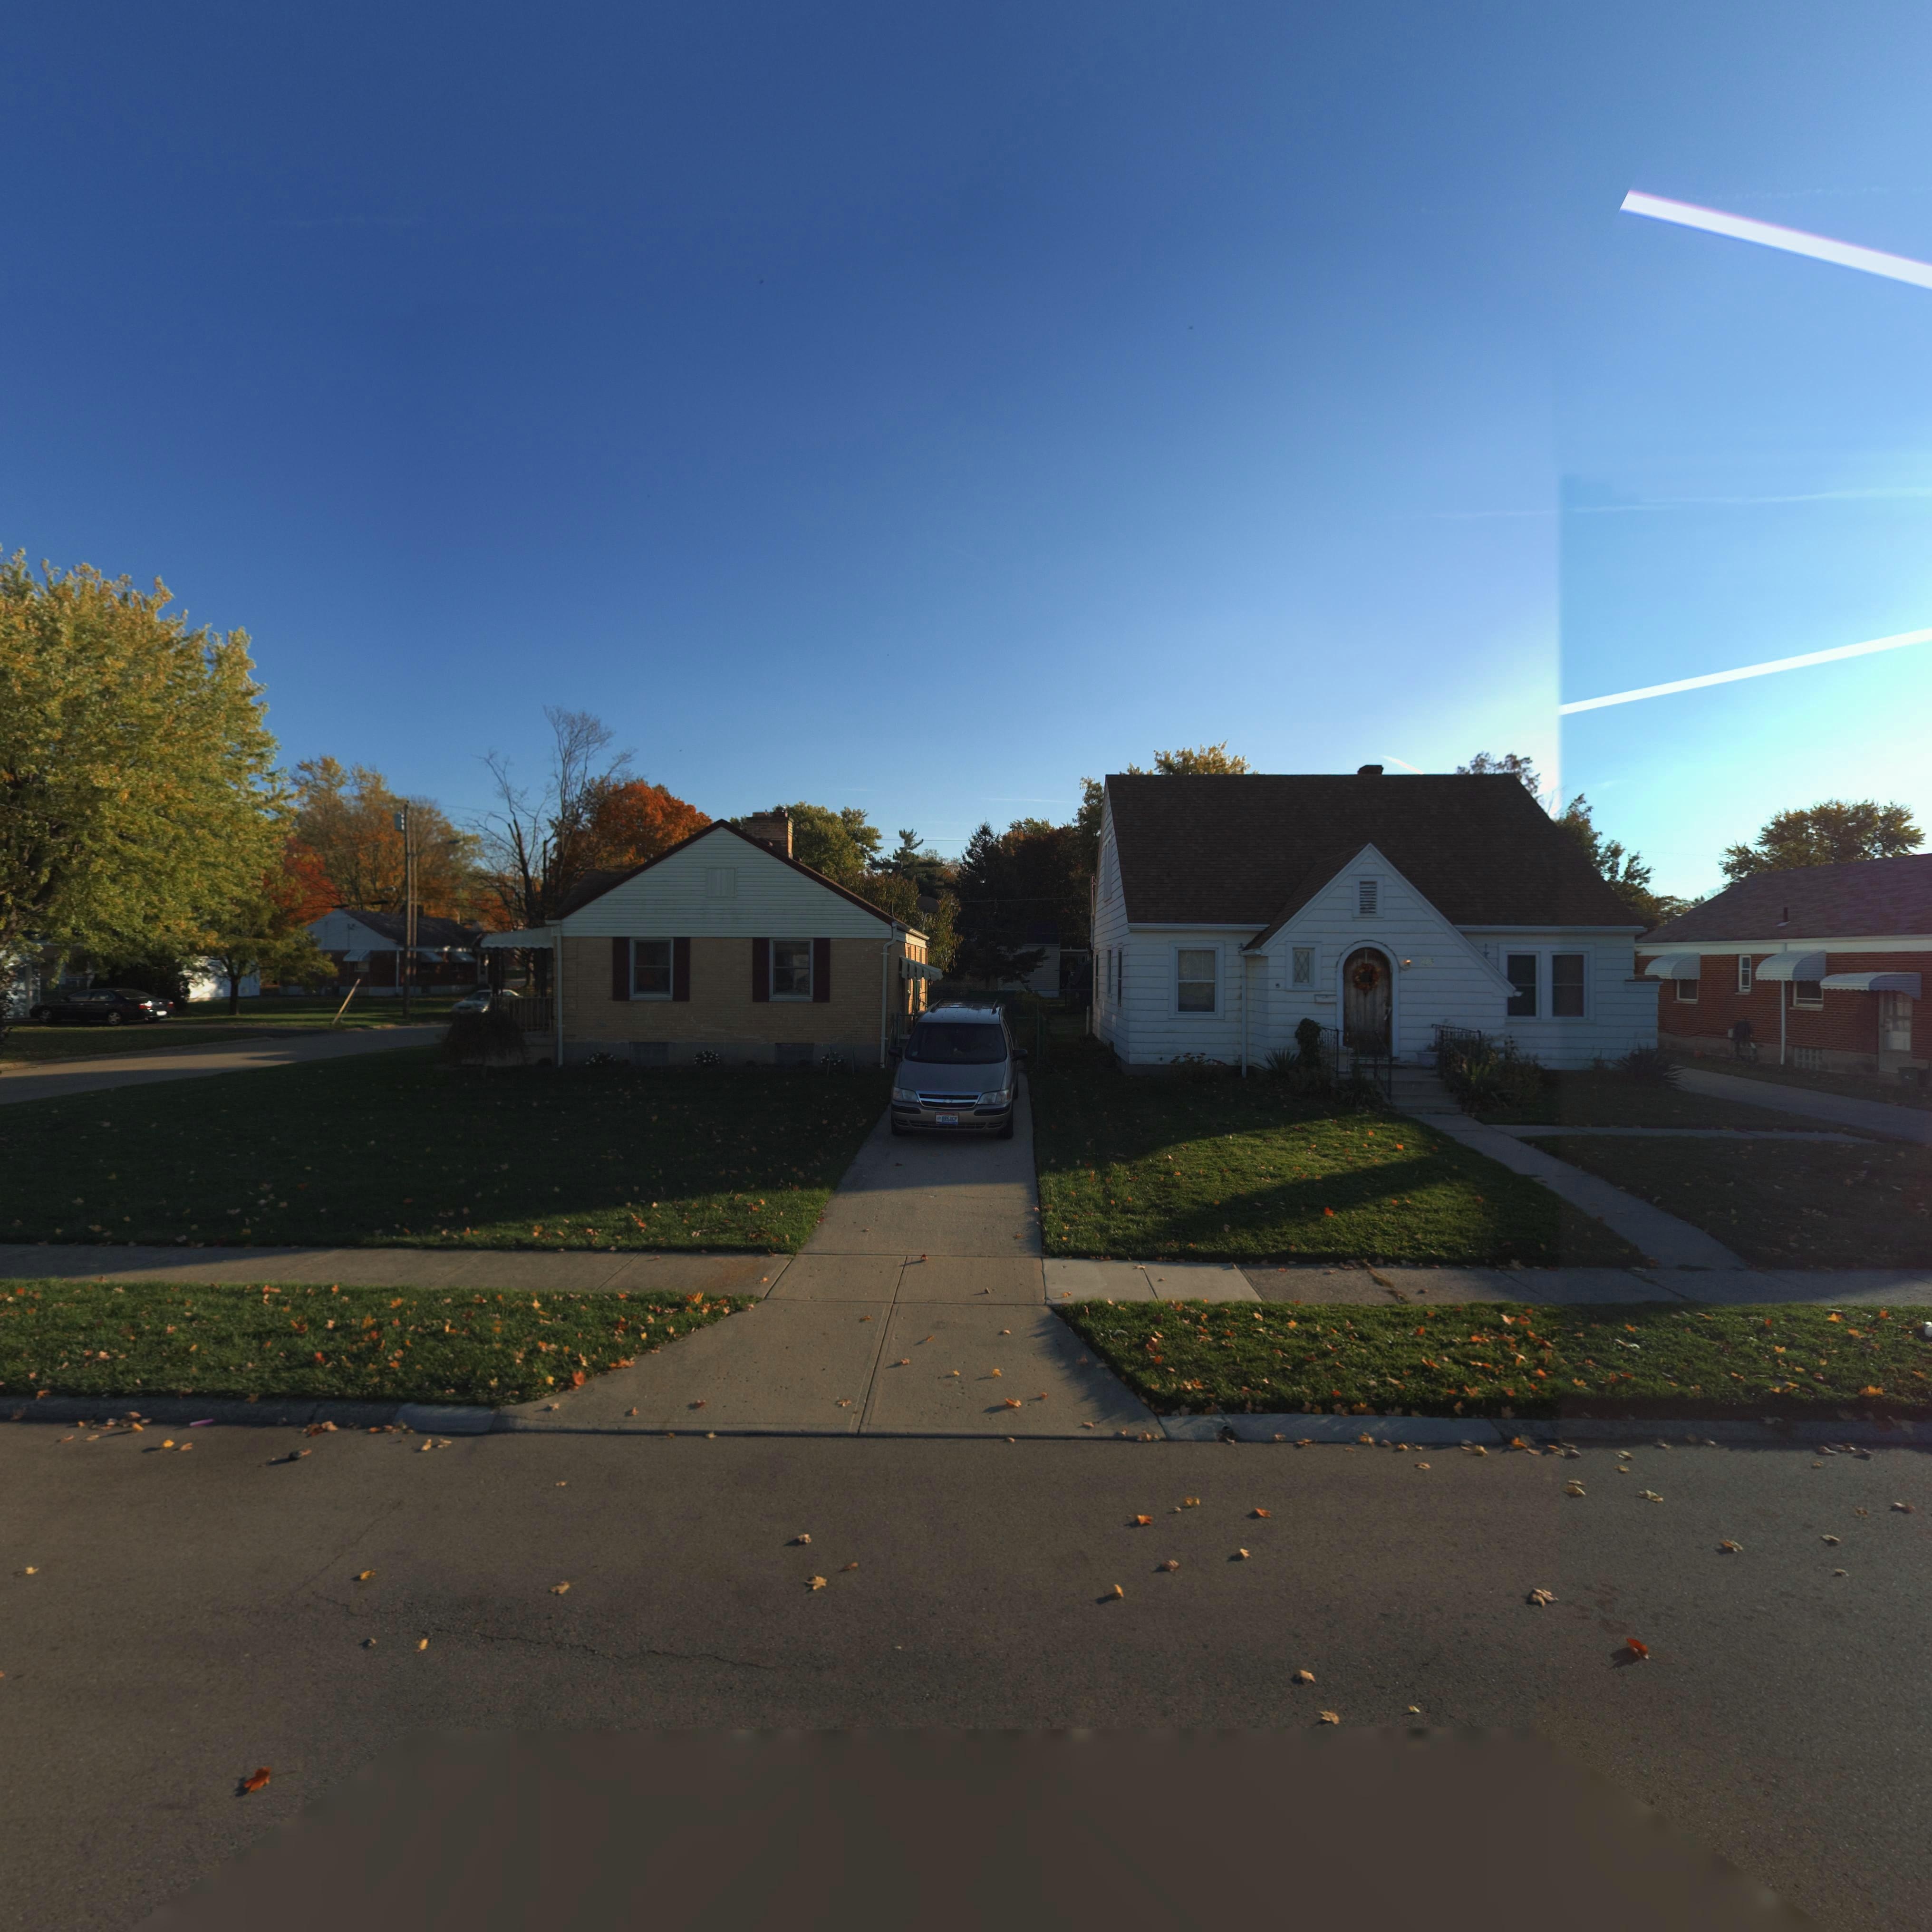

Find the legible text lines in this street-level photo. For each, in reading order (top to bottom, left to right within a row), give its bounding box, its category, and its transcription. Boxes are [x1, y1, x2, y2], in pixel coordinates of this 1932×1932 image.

[1428, 957, 1435, 966] StreetNumber: 3